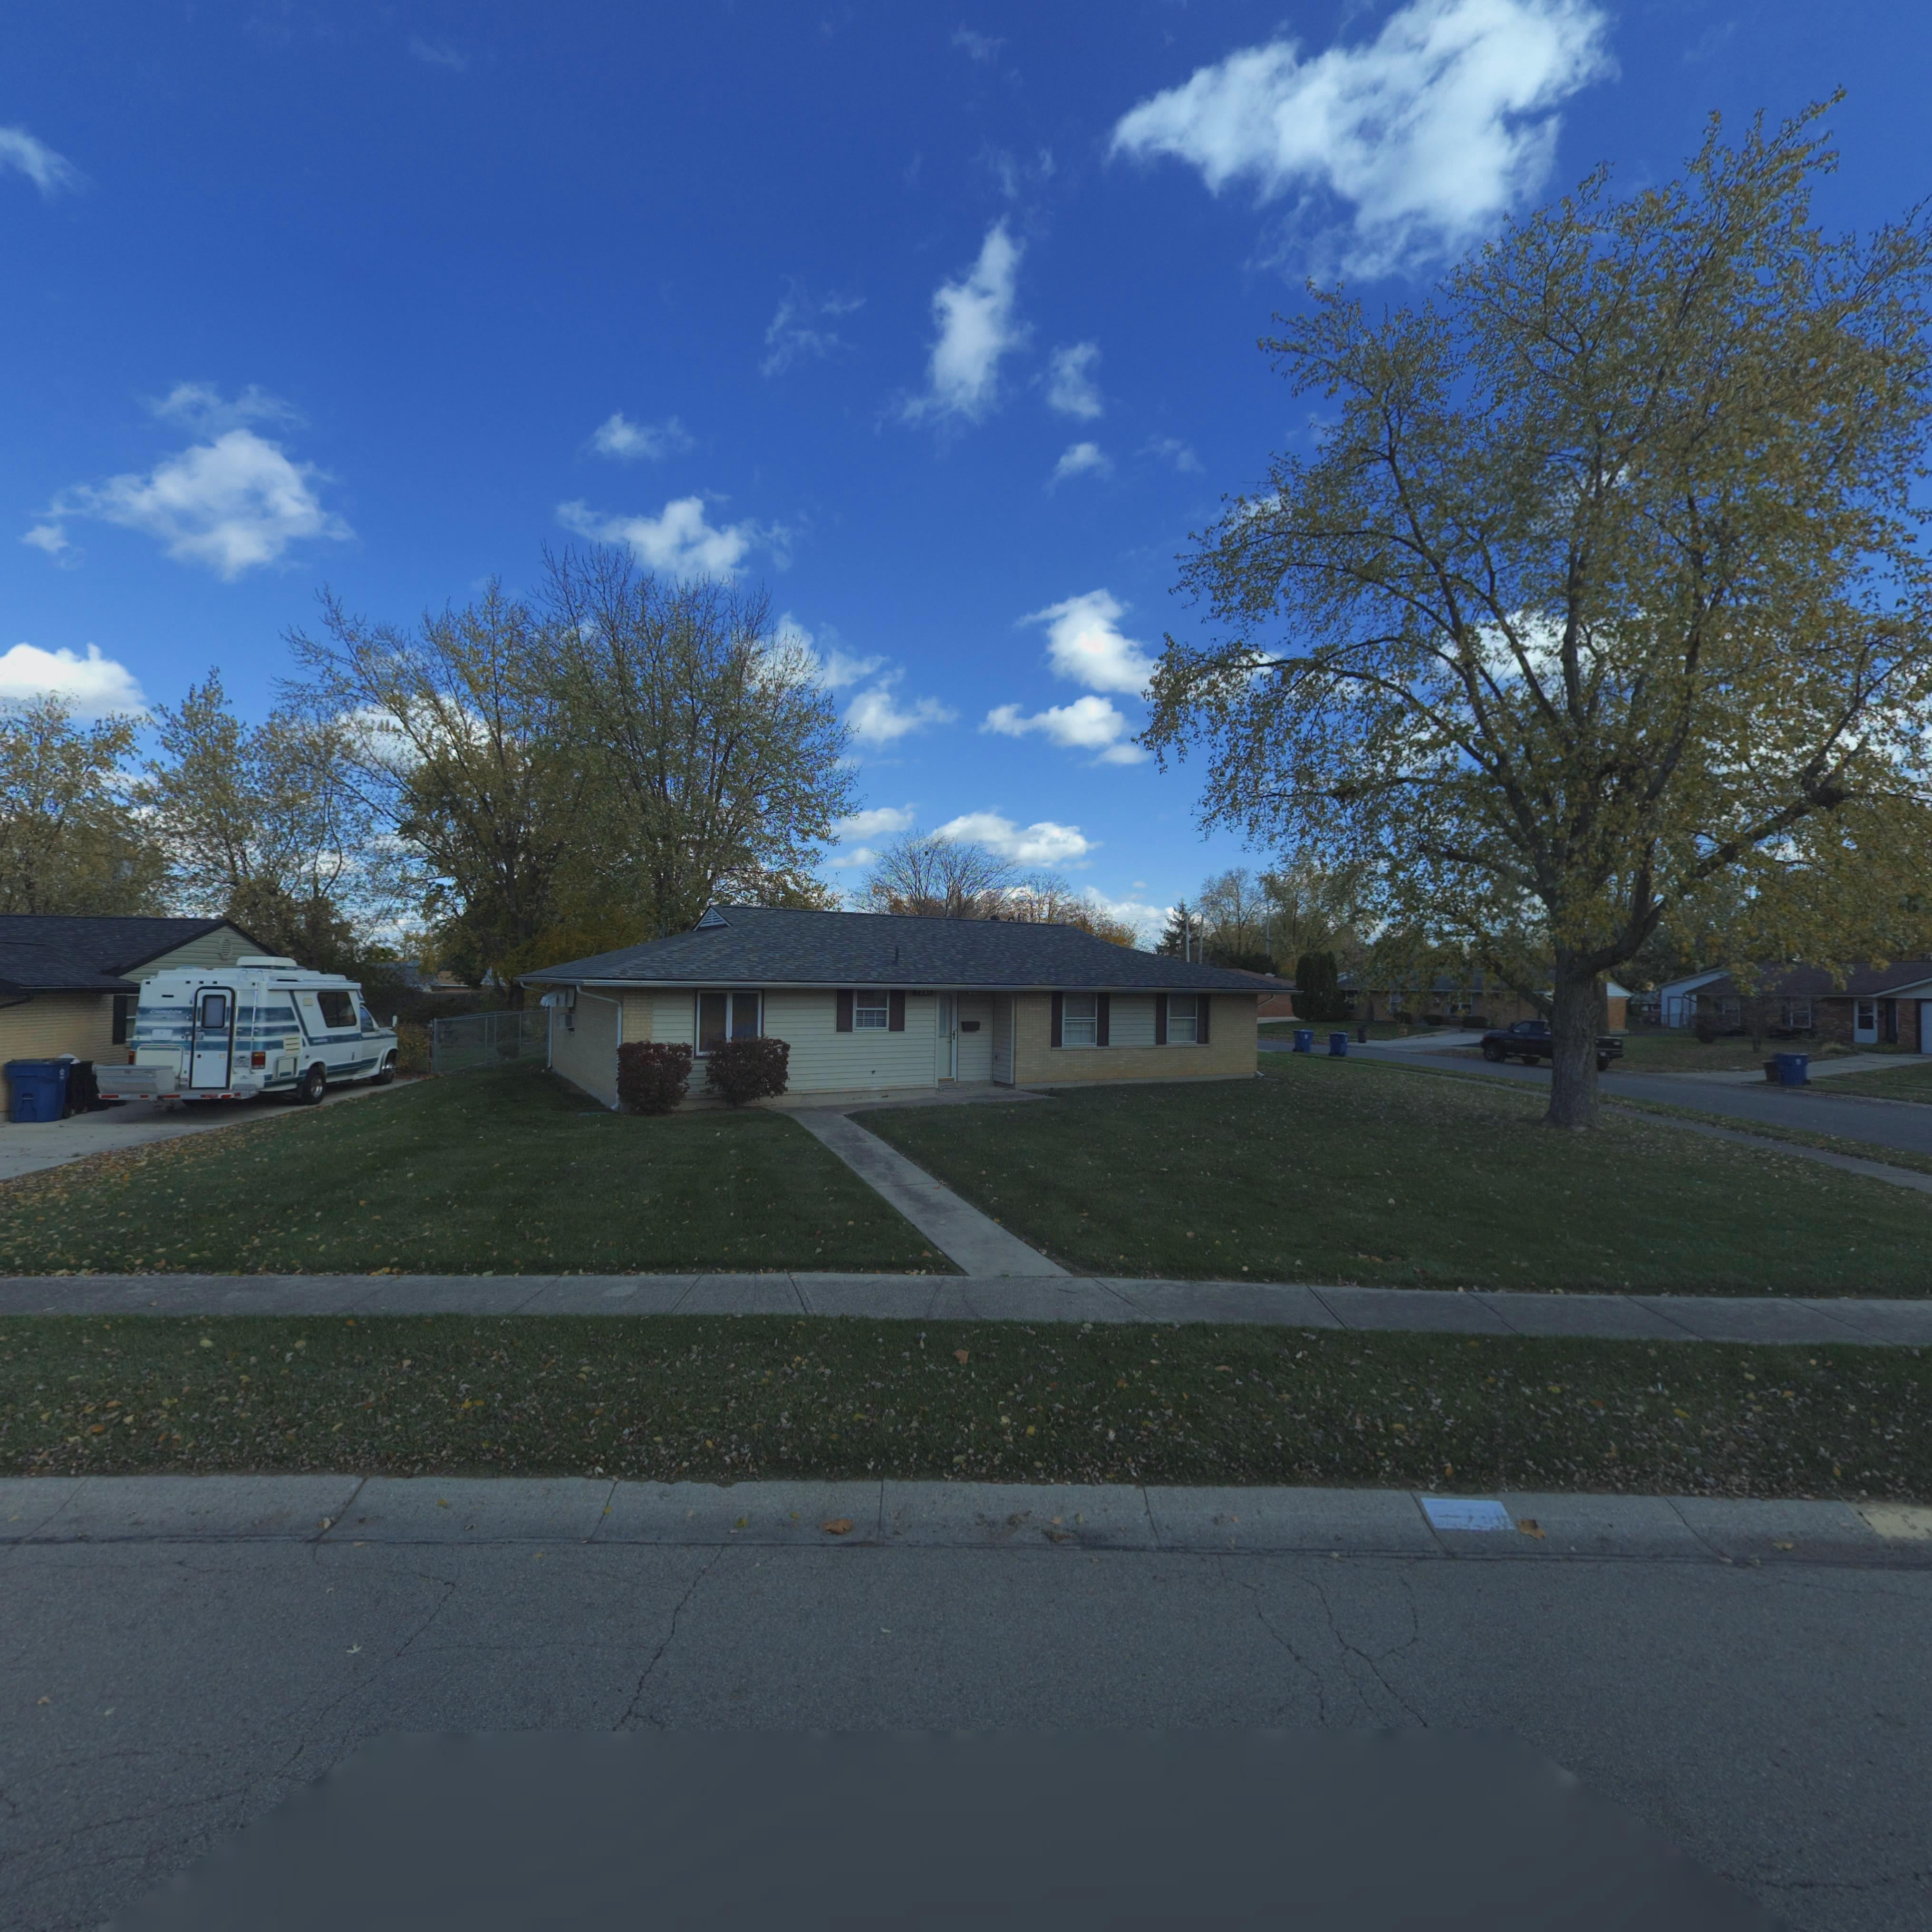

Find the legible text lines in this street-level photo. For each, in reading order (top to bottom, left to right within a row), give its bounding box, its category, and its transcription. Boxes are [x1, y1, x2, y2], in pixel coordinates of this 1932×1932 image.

[916, 990, 932, 995] StreetNumber: *80*